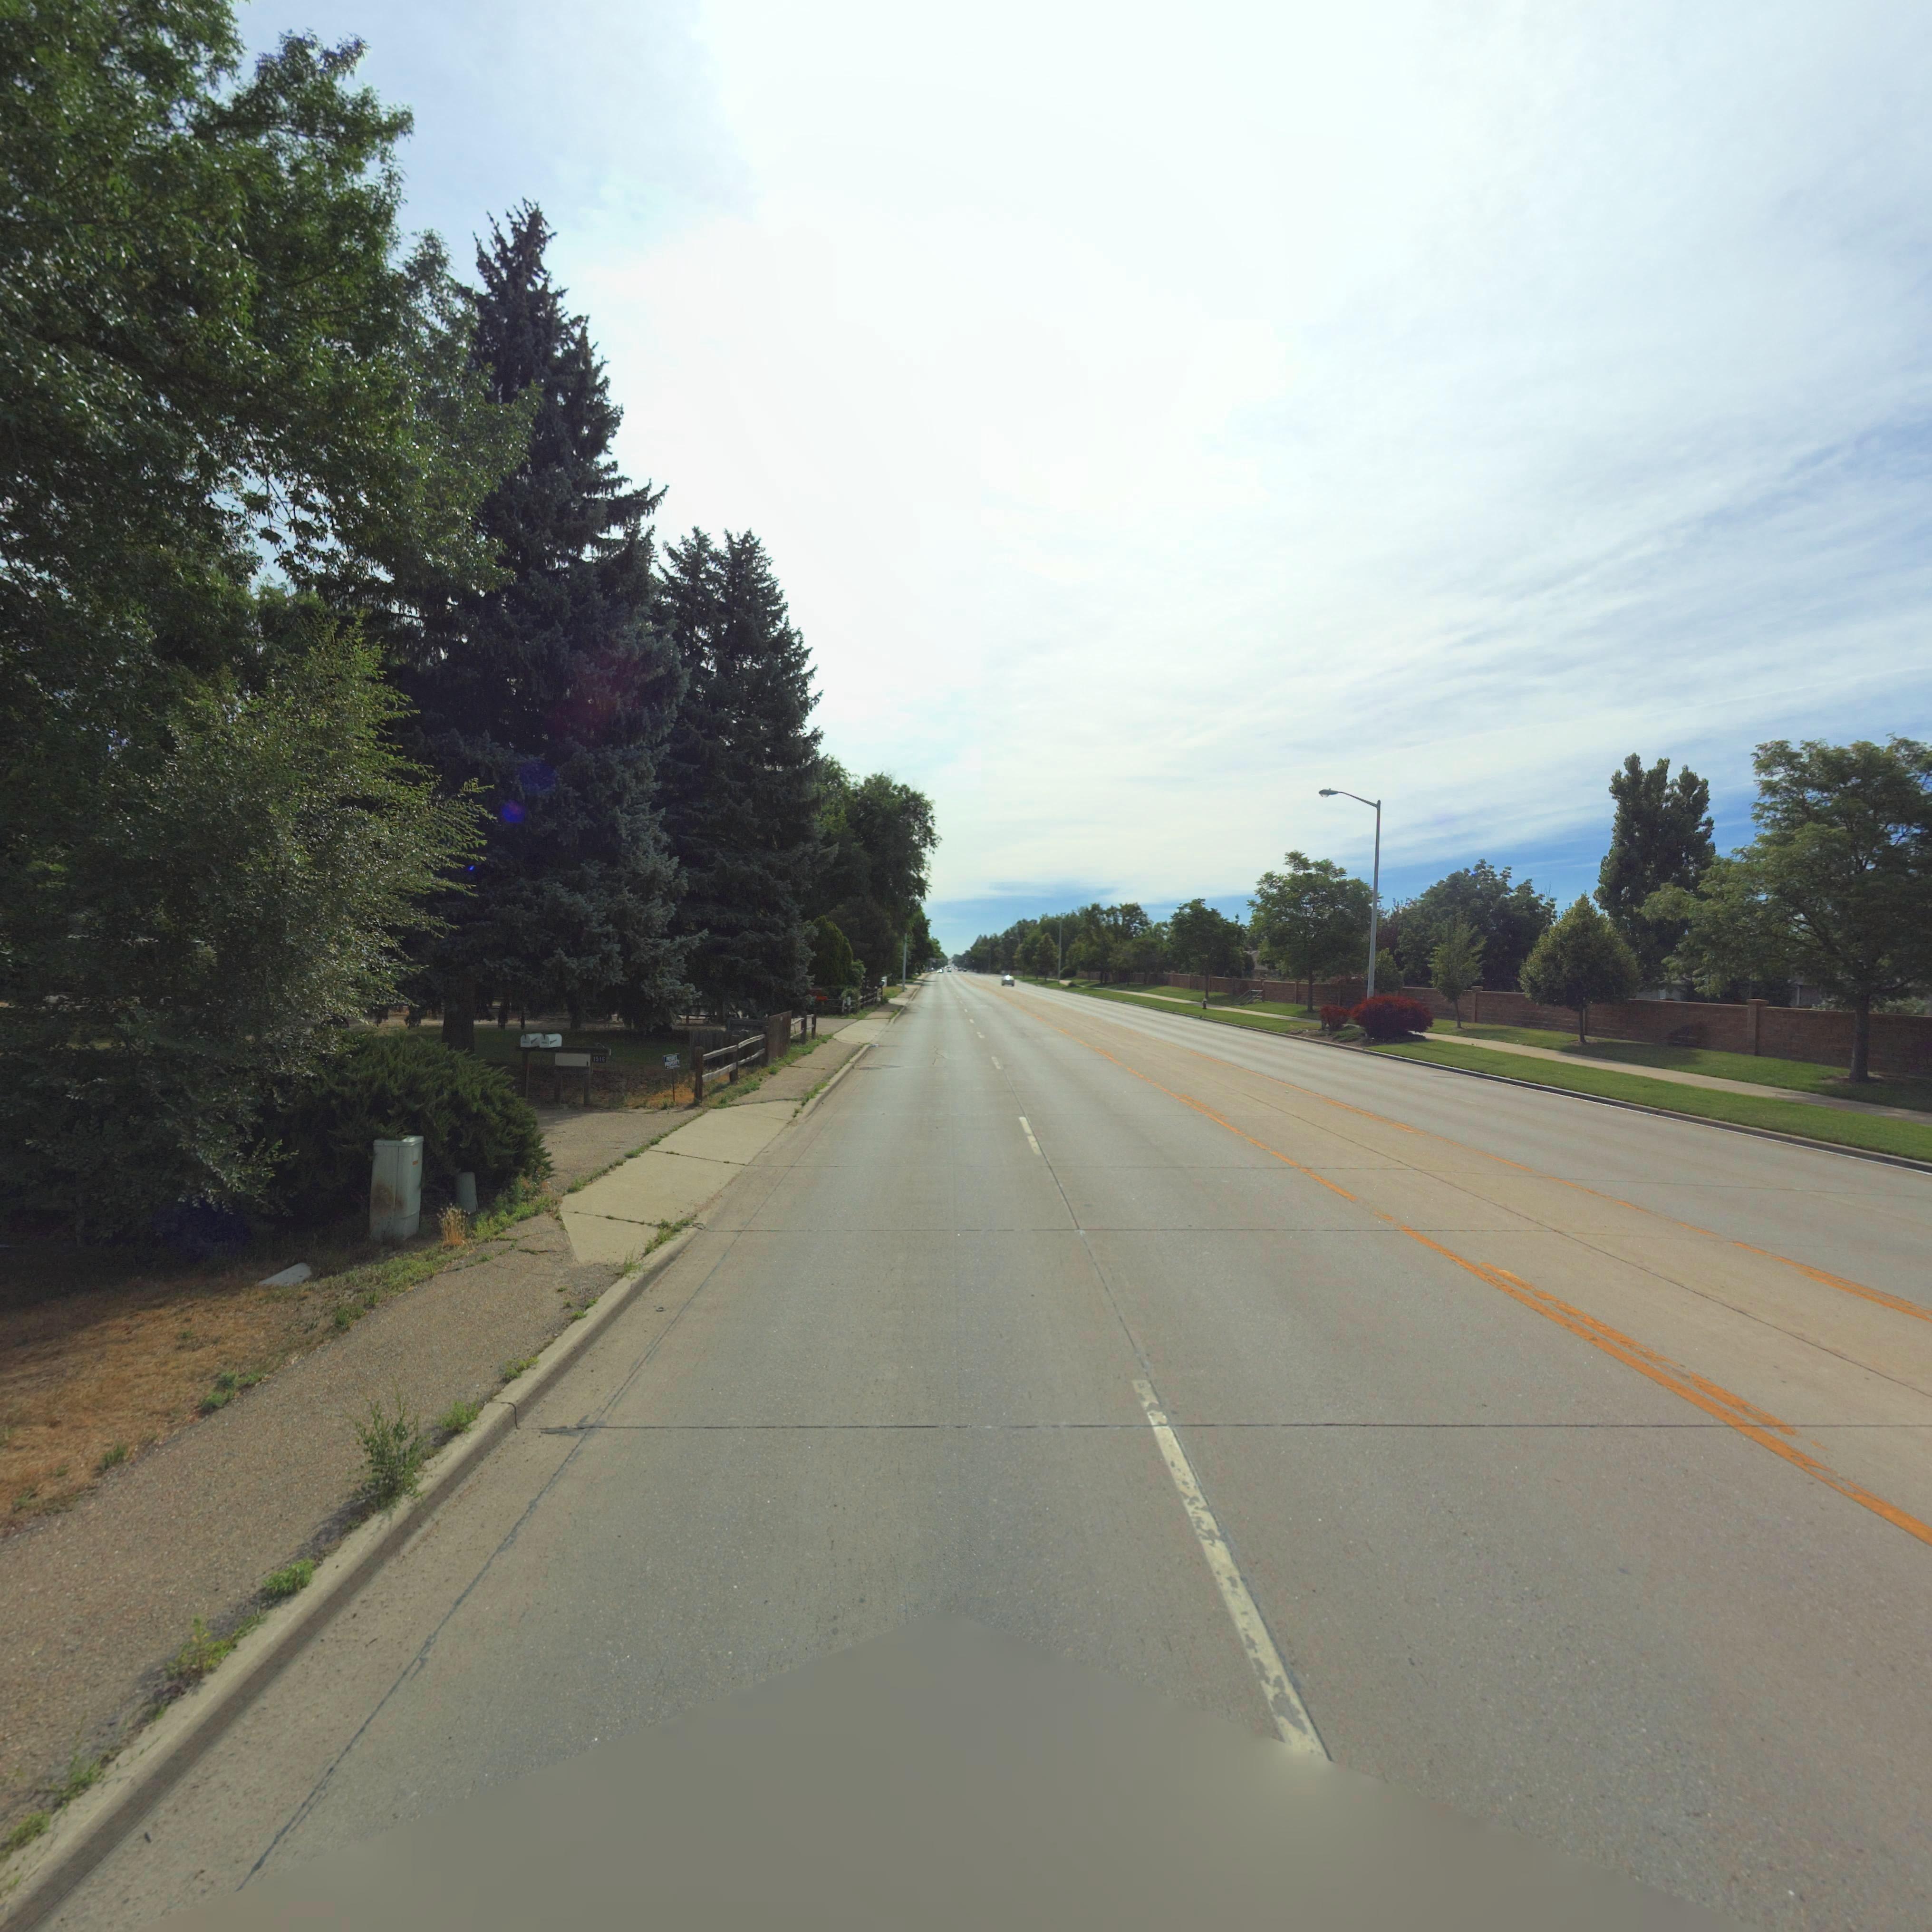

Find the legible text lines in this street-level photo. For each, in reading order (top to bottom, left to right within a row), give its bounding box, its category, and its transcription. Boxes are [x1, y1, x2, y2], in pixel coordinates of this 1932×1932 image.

[592, 1056, 605, 1062] StreetNumber: 1516